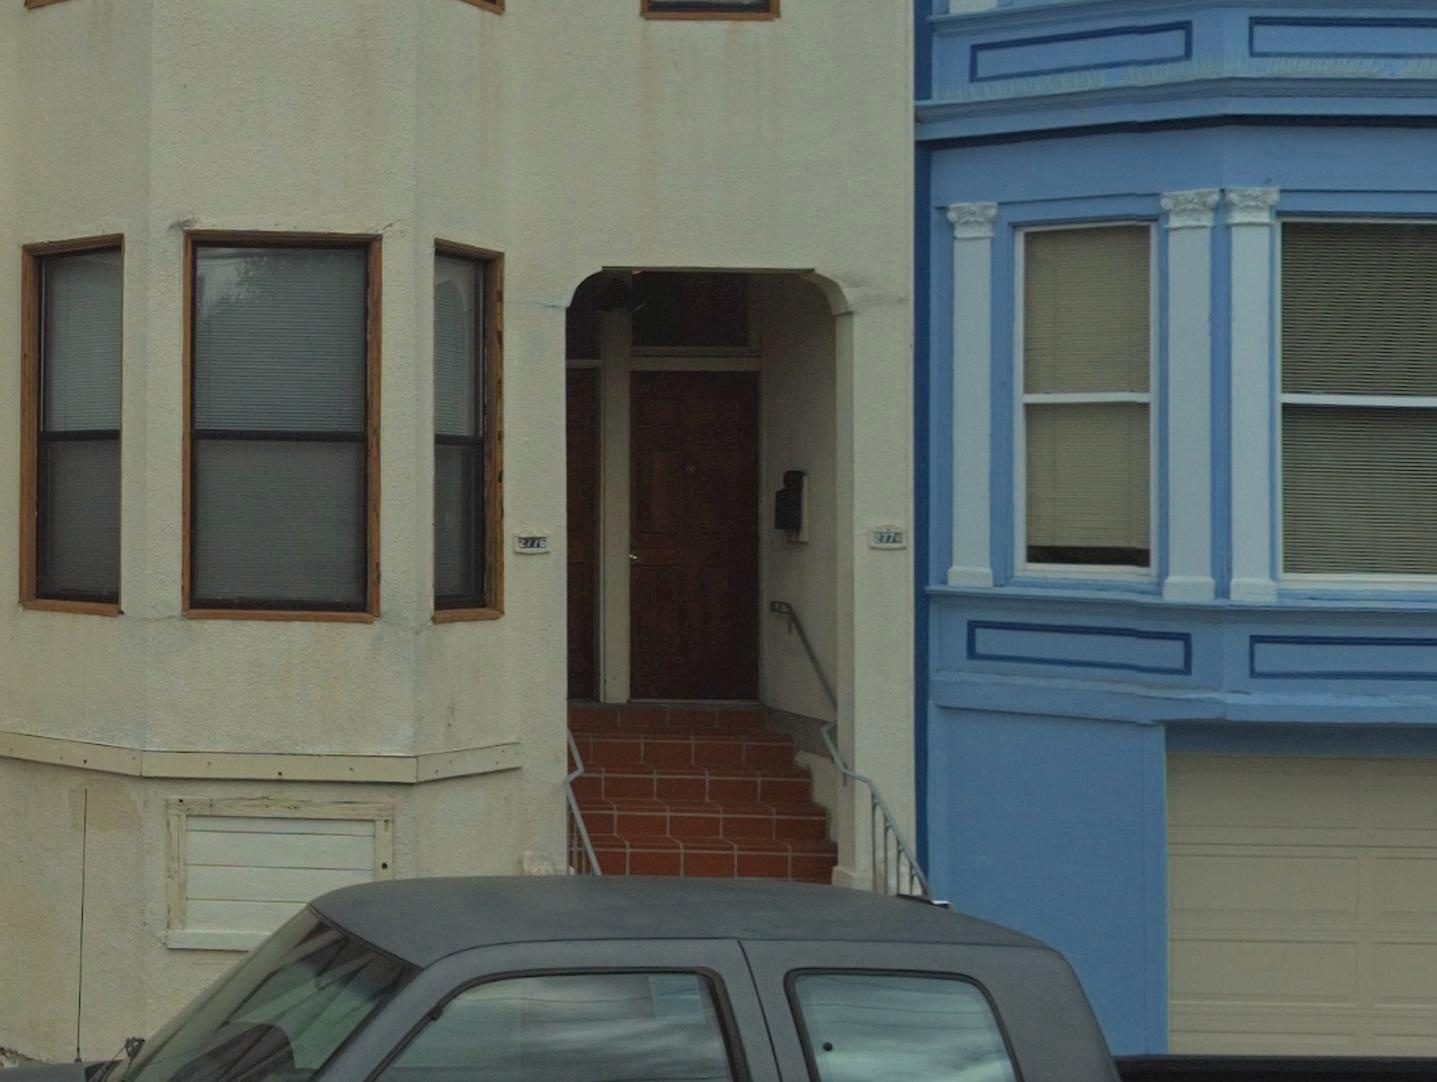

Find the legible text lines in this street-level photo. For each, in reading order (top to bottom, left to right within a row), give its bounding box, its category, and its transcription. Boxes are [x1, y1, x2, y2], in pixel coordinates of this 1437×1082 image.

[518, 537, 547, 549] StreetNumber: 2776
[873, 531, 902, 544] StreetNumber: 2774